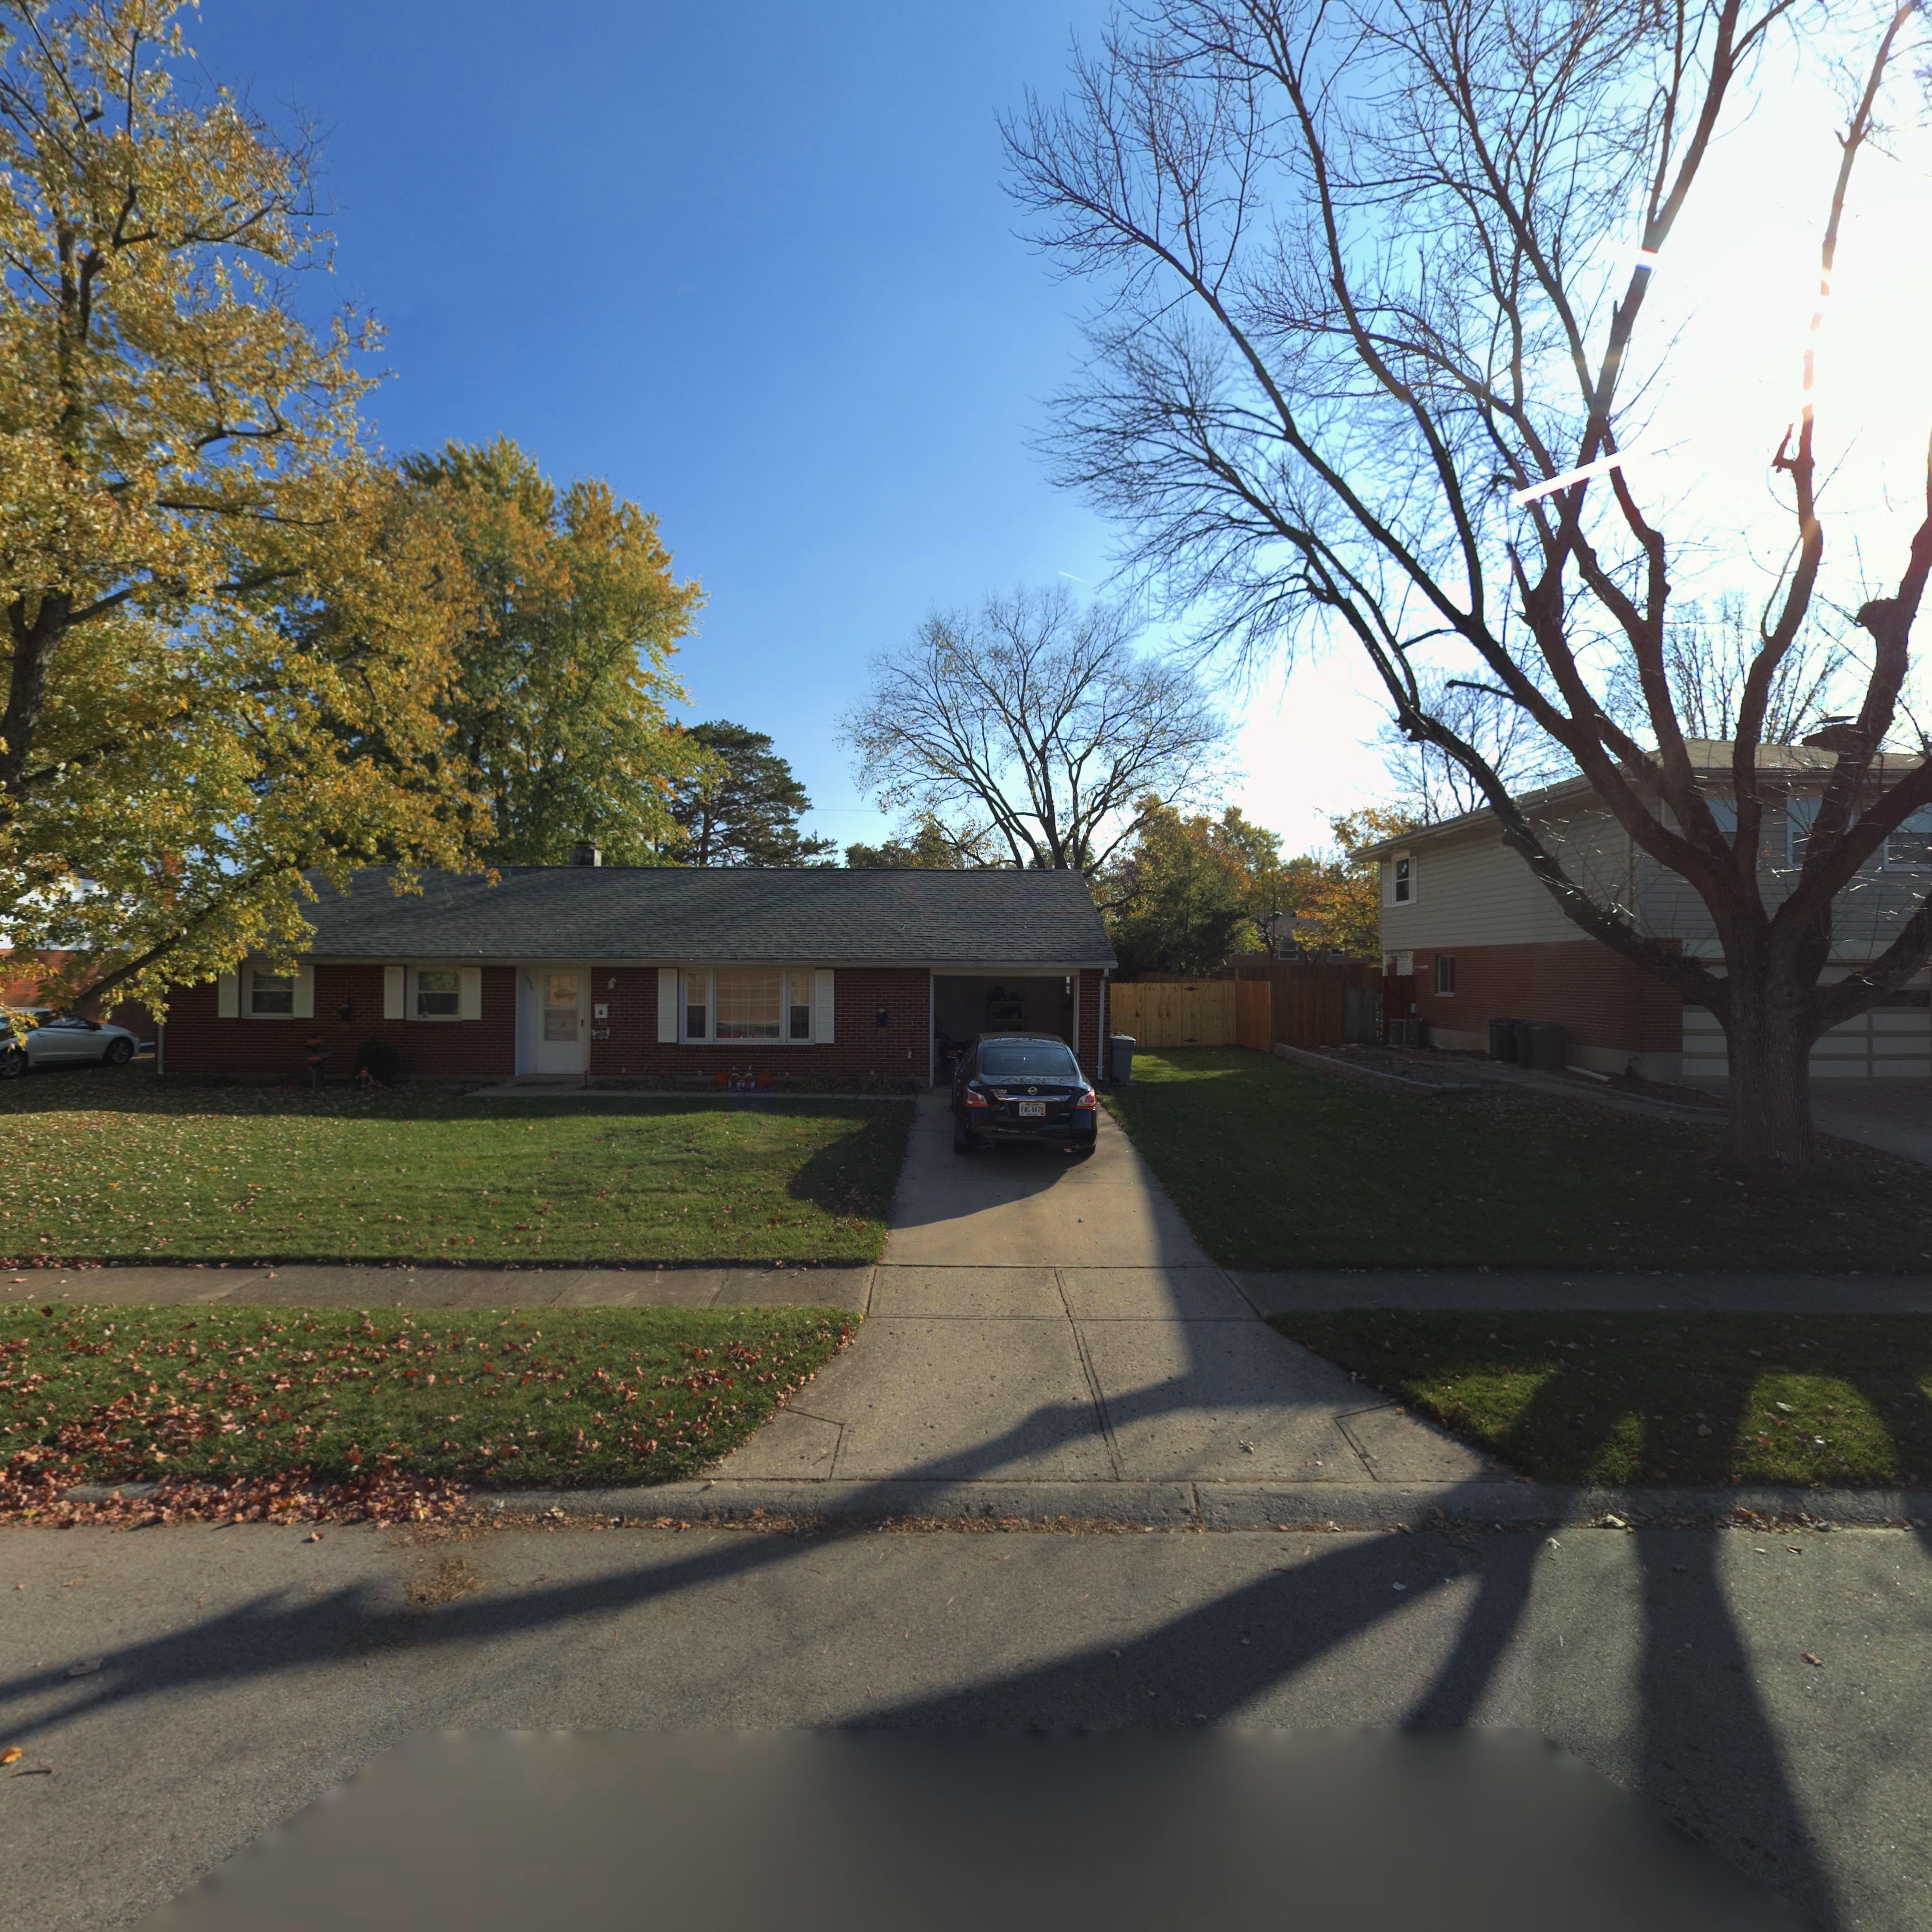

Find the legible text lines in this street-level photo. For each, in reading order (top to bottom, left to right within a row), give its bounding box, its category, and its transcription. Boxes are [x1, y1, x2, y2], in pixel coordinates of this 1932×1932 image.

[525, 975, 535, 992] StreetNumber: 634